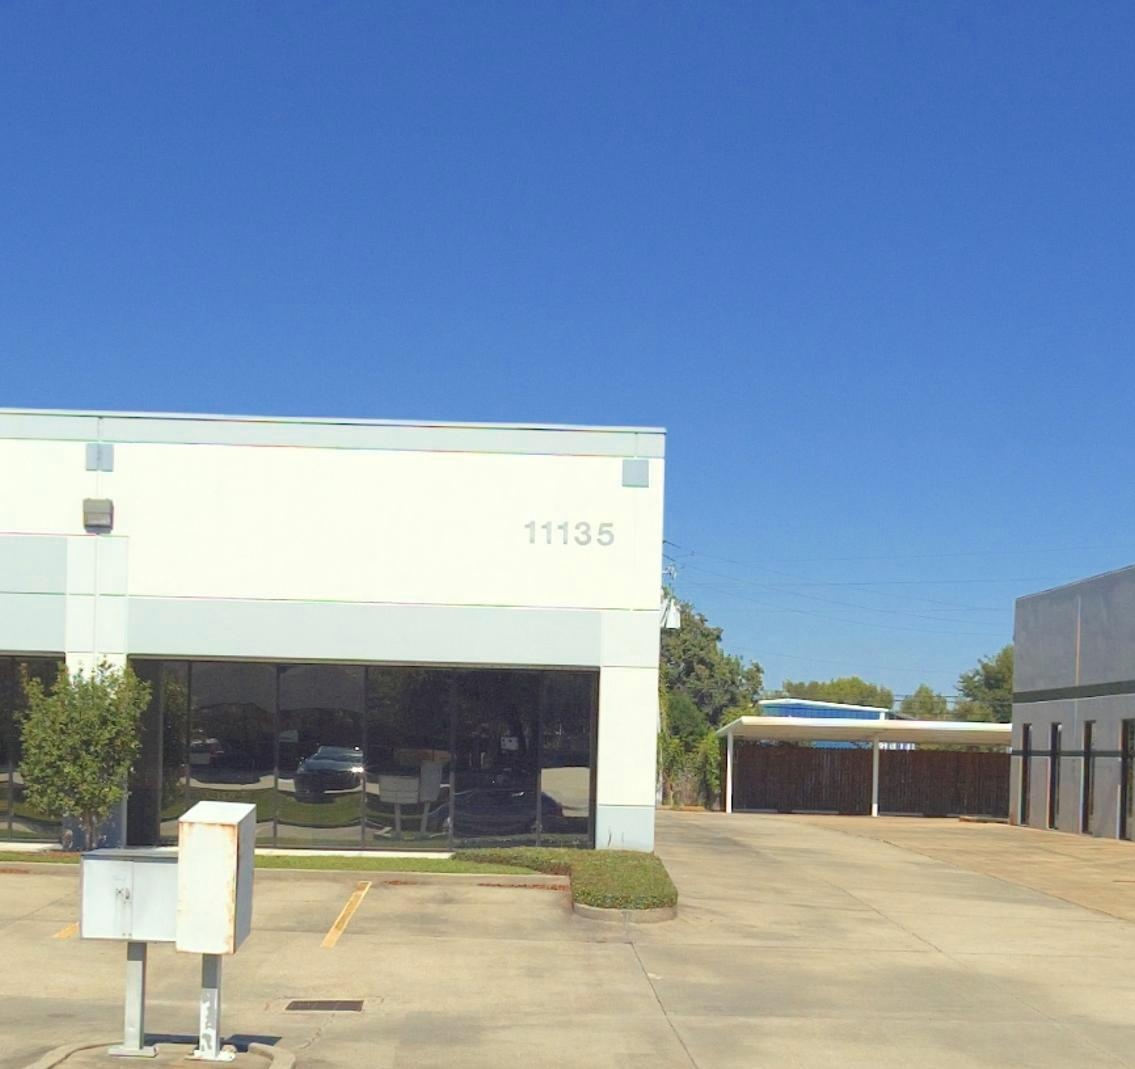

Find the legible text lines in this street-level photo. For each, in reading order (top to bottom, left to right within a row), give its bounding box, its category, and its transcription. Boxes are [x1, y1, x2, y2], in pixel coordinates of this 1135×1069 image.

[522, 518, 616, 547] StreetNumber: 11135